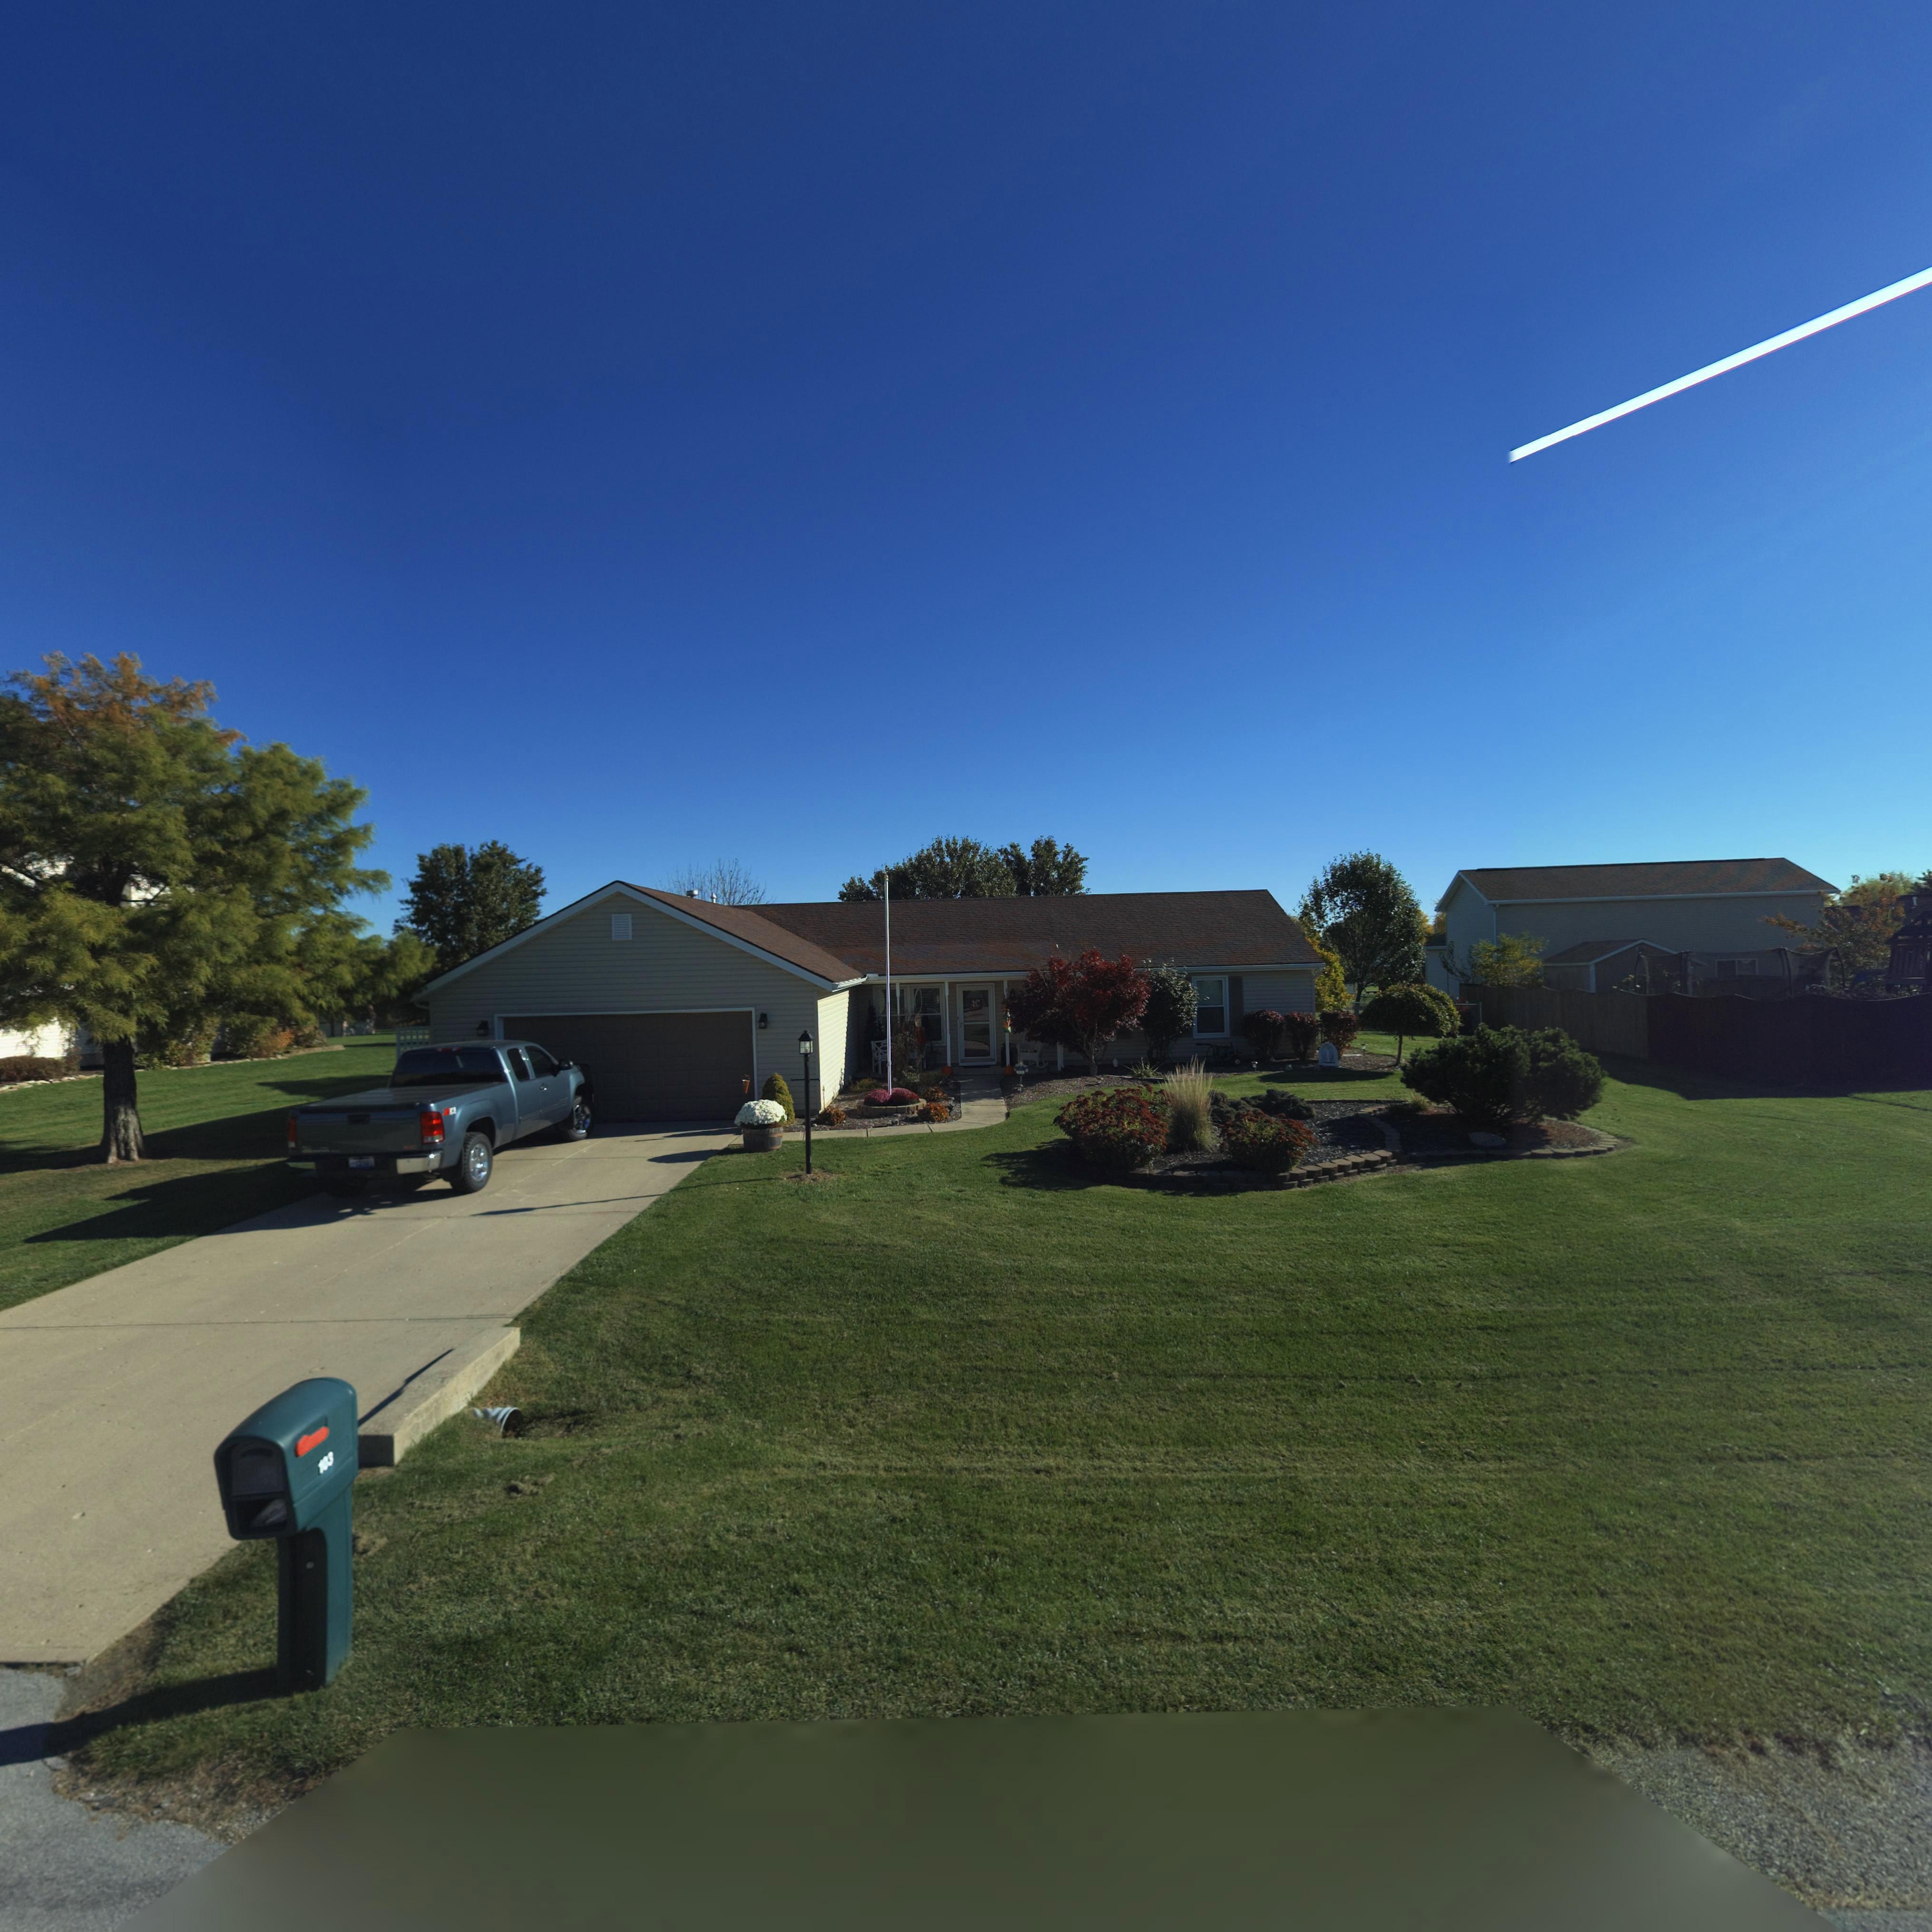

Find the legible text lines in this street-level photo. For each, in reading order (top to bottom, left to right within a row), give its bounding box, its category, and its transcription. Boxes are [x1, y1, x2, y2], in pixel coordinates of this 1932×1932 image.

[317, 1447, 336, 1477] StreetNumber: 103